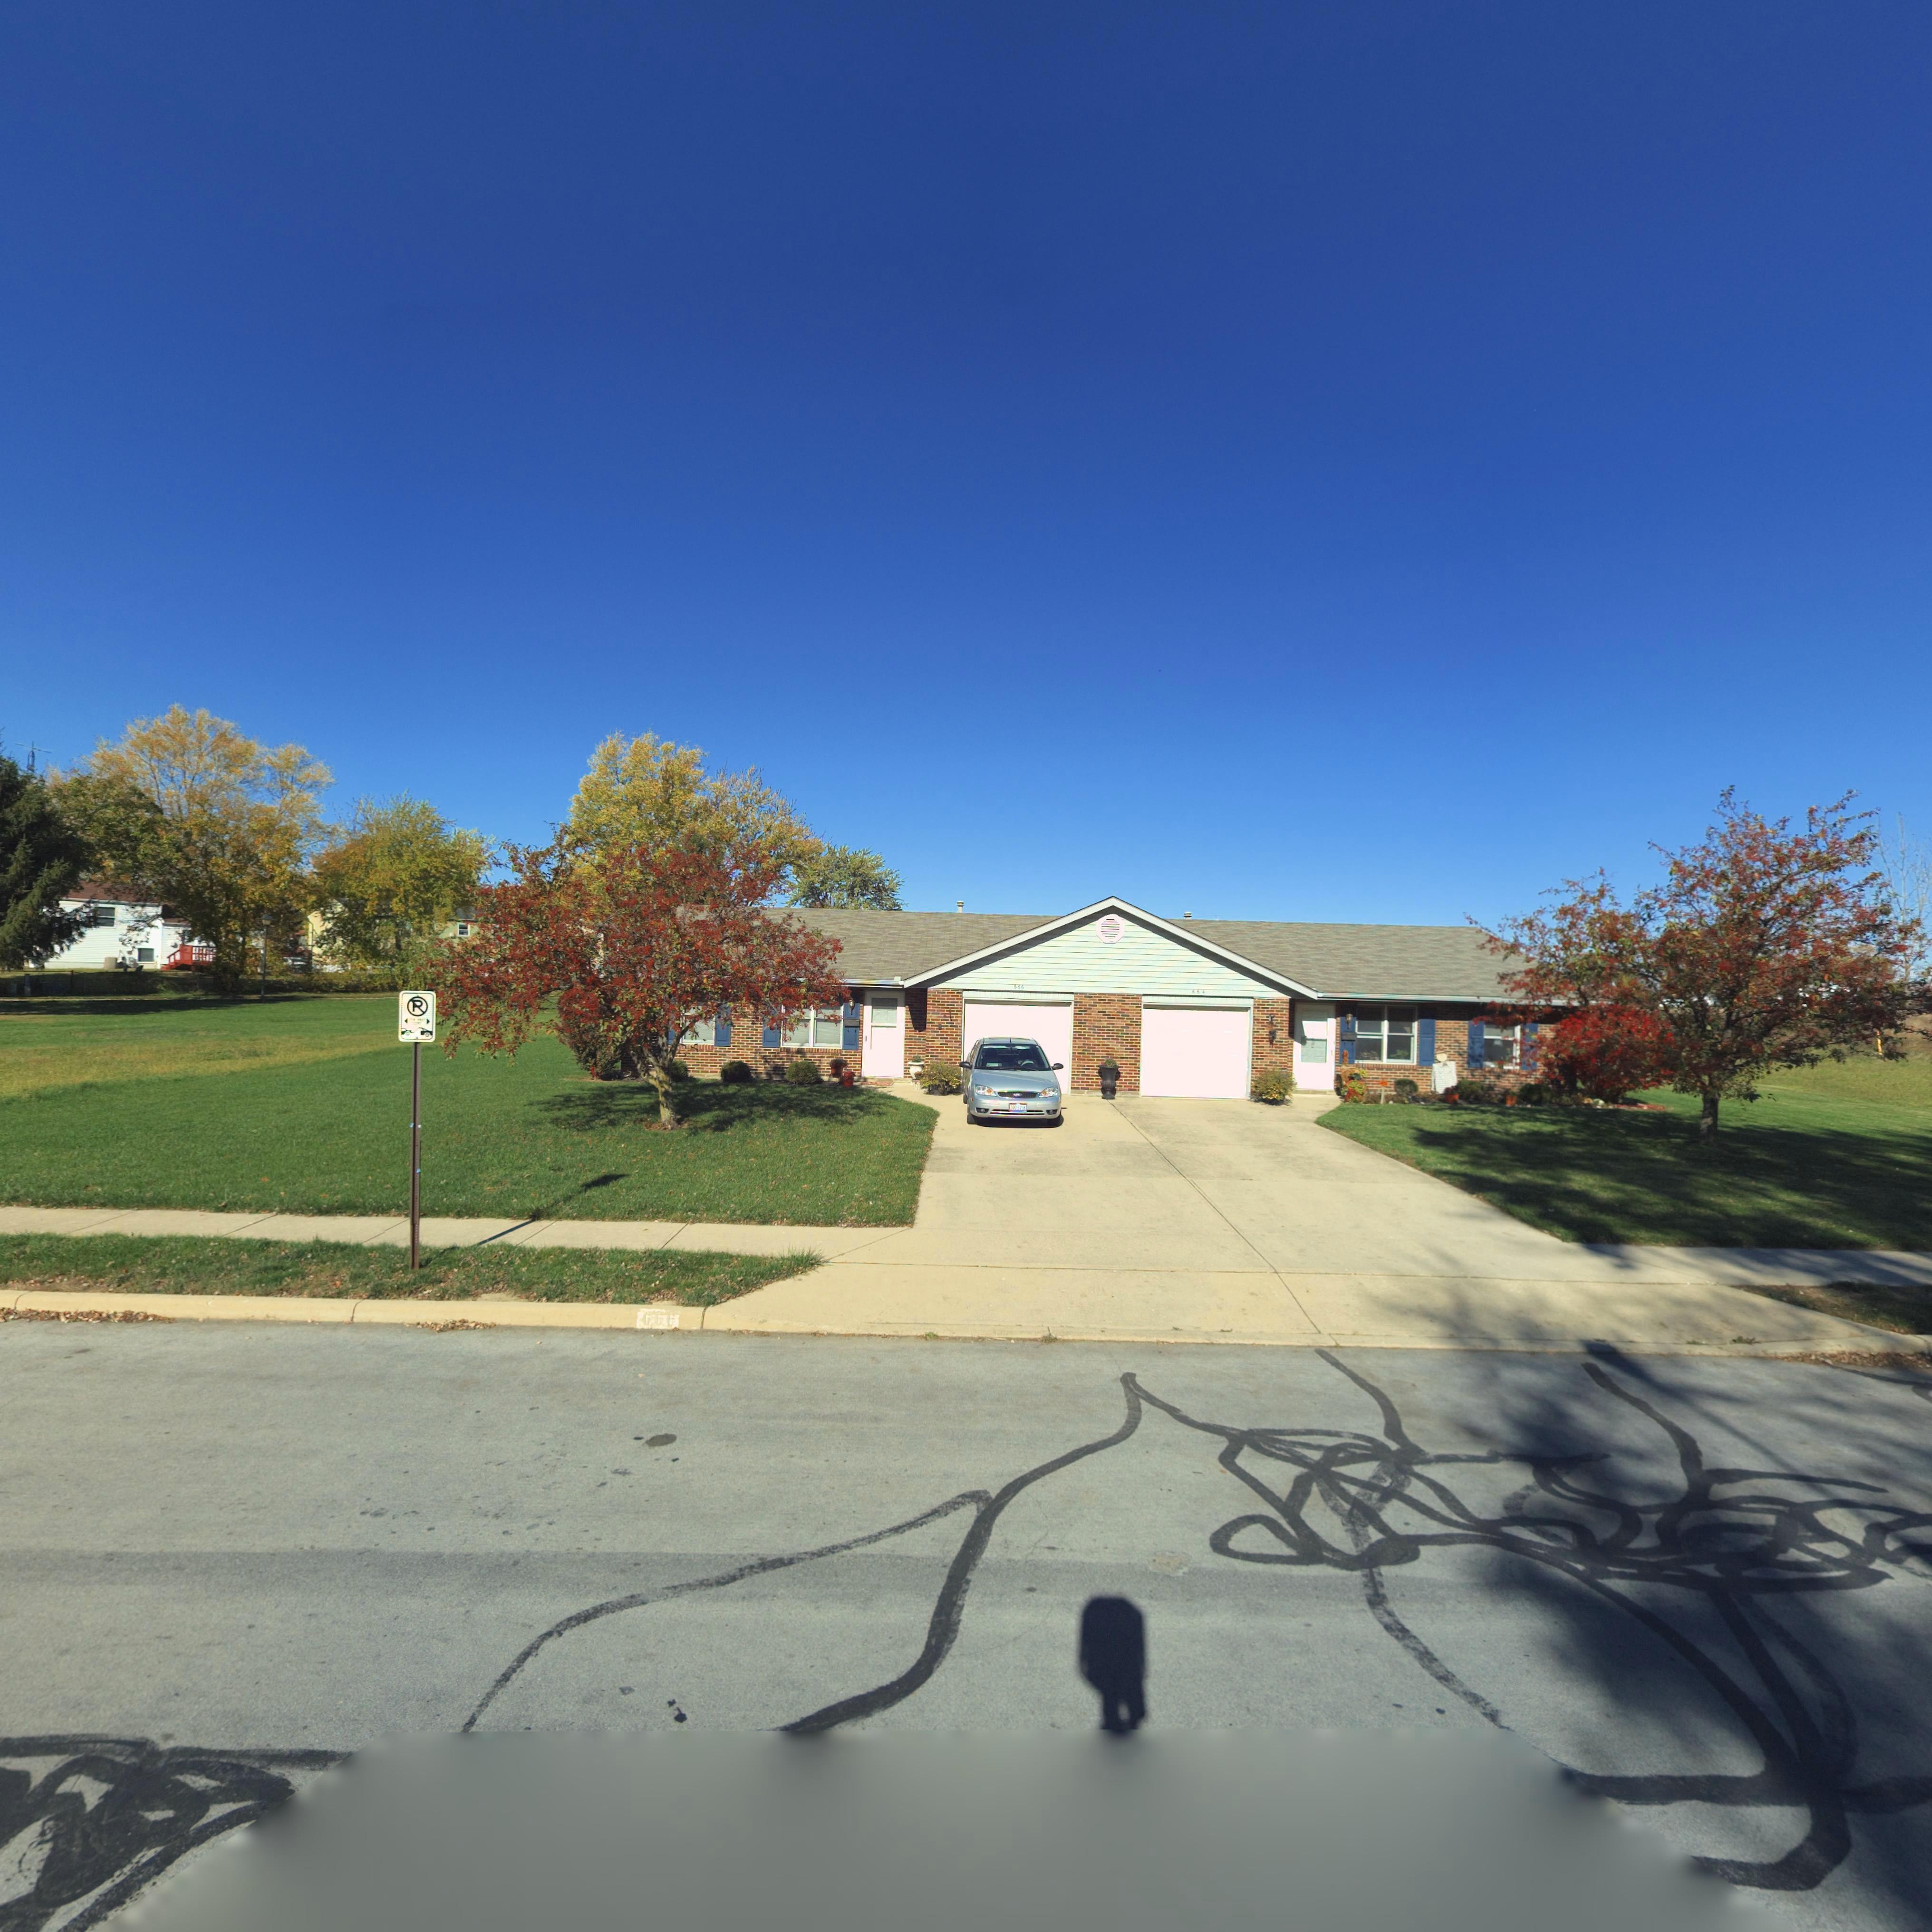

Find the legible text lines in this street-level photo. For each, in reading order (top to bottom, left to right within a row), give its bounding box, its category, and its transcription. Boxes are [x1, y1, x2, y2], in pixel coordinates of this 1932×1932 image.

[1013, 984, 1025, 990] StreetNumber: 666
[1191, 988, 1205, 994] StreetNumber: 664
[641, 1310, 677, 1327] StreetNumber: 666